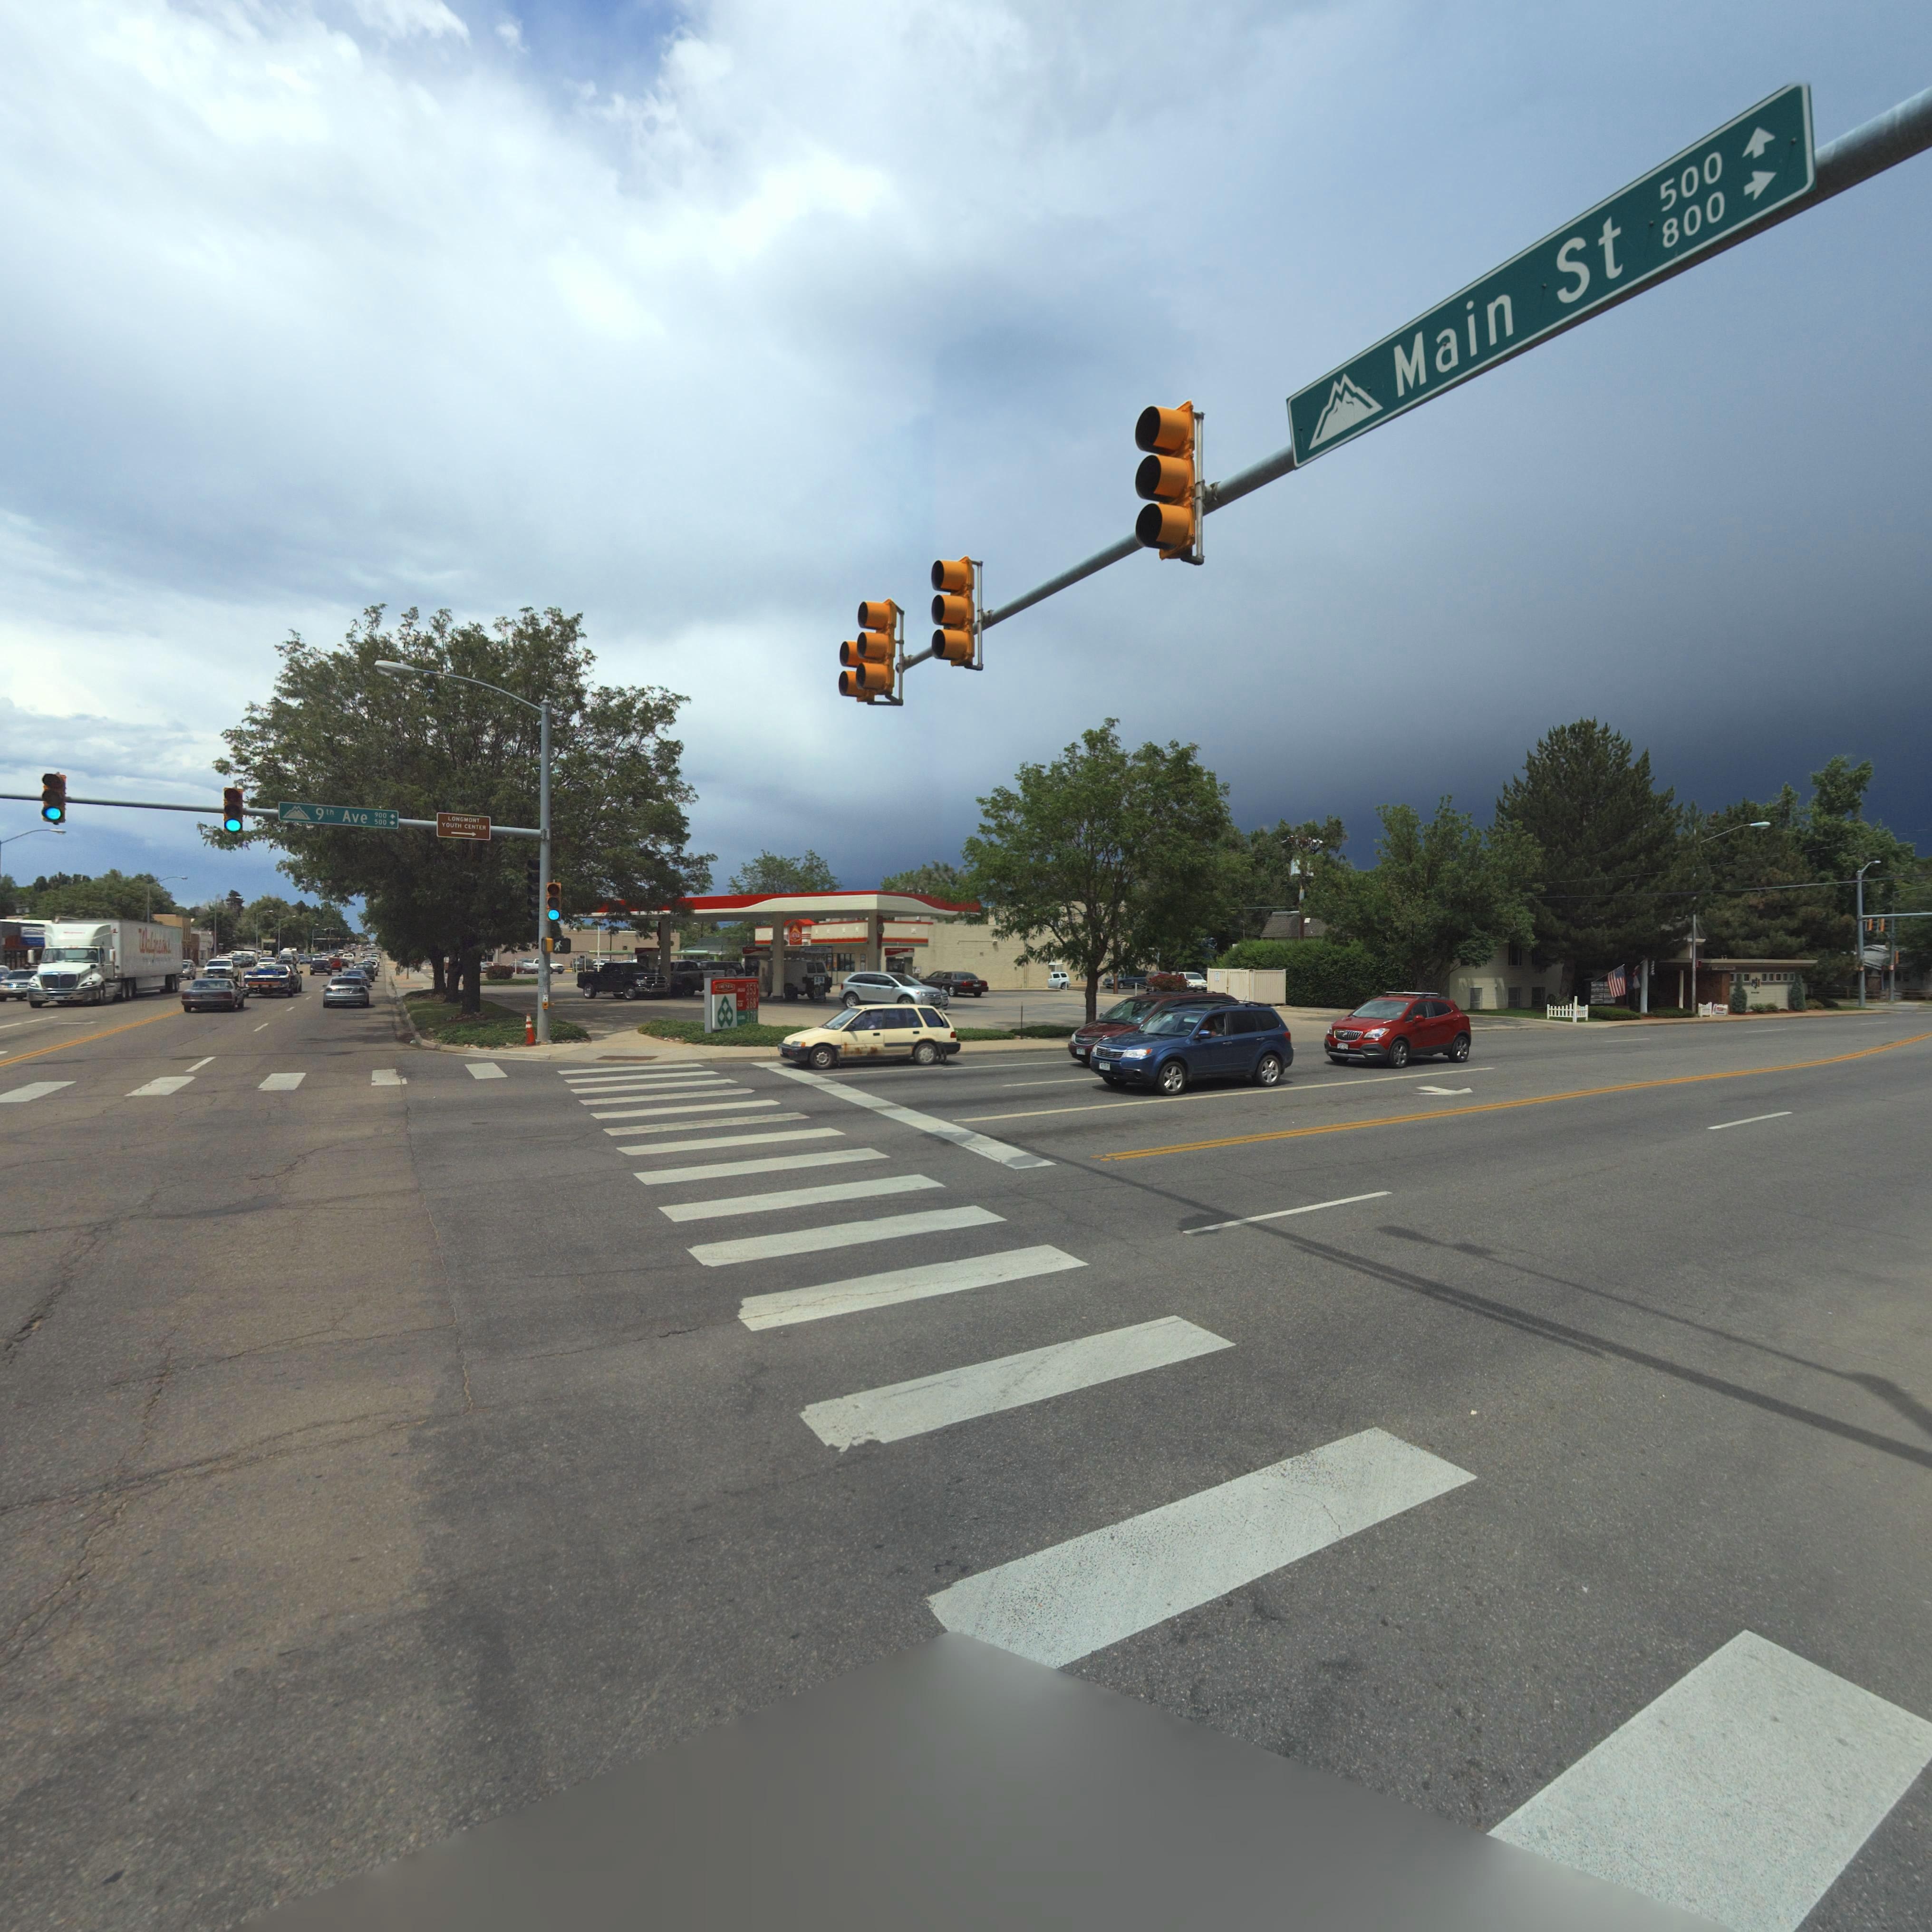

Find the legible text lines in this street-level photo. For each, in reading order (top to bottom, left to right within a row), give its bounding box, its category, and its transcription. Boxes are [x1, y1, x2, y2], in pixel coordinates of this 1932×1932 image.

[1660, 150, 1723, 212] StreetNumberRange: 500
[1661, 170, 1778, 249] StreetNumber: 800->
[1393, 215, 1625, 397] StreetName: Main St
[315, 807, 367, 823] StreetName: 9th Ave
[374, 811, 386, 818] StreetNumberRange: 900
[374, 819, 396, 825] StreetNumberRange: 500->